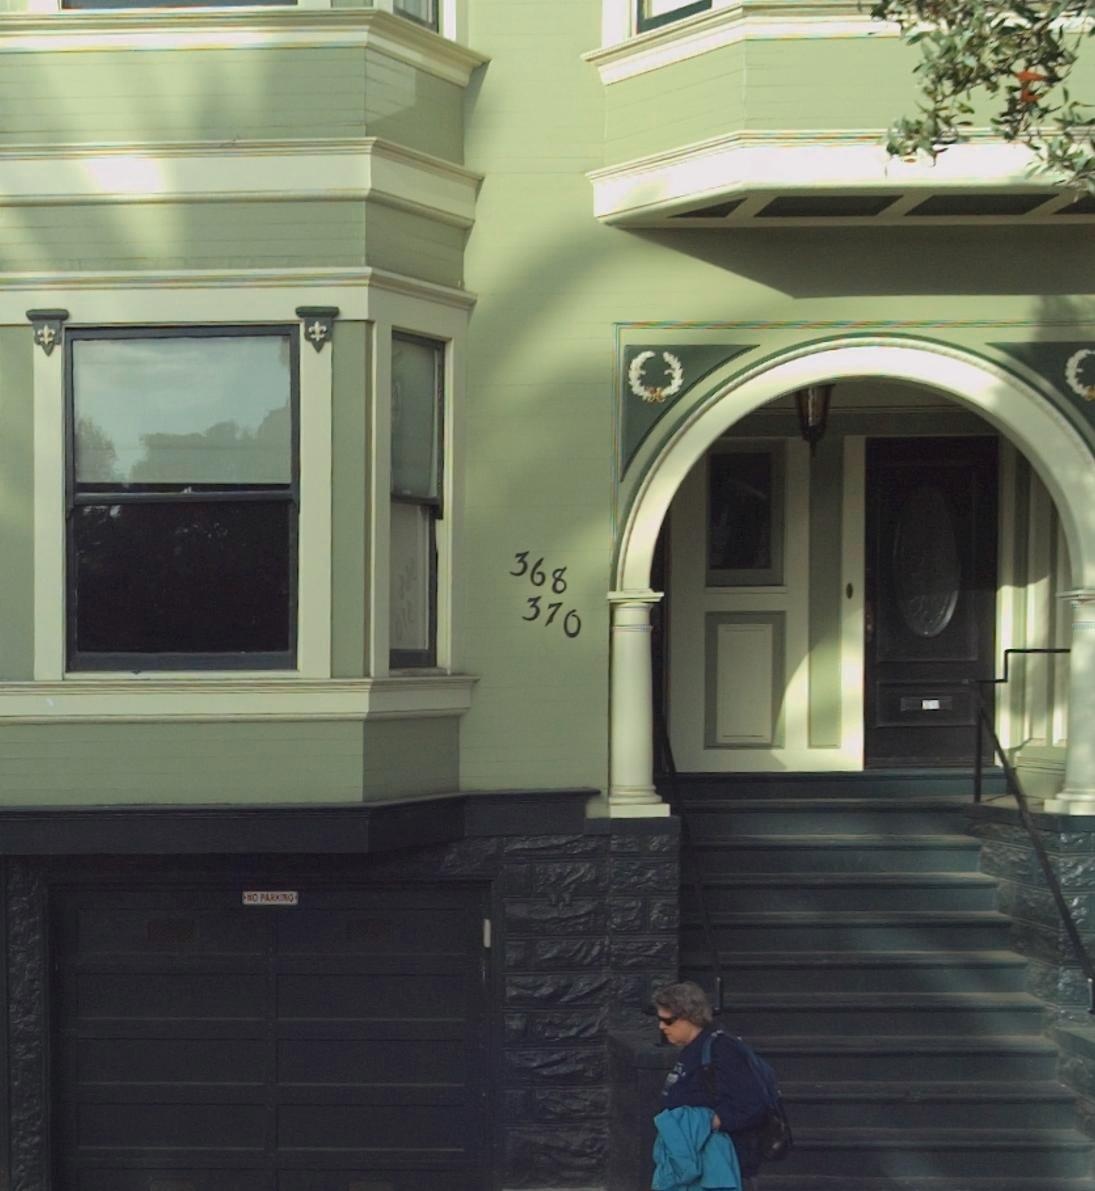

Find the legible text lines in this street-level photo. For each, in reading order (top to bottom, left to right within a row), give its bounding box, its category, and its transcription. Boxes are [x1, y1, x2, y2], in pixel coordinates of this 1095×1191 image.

[508, 541, 573, 599] StreetNumber: 368
[517, 588, 590, 644] StreetNumber: 370
[243, 891, 297, 904] None: NO PARKING